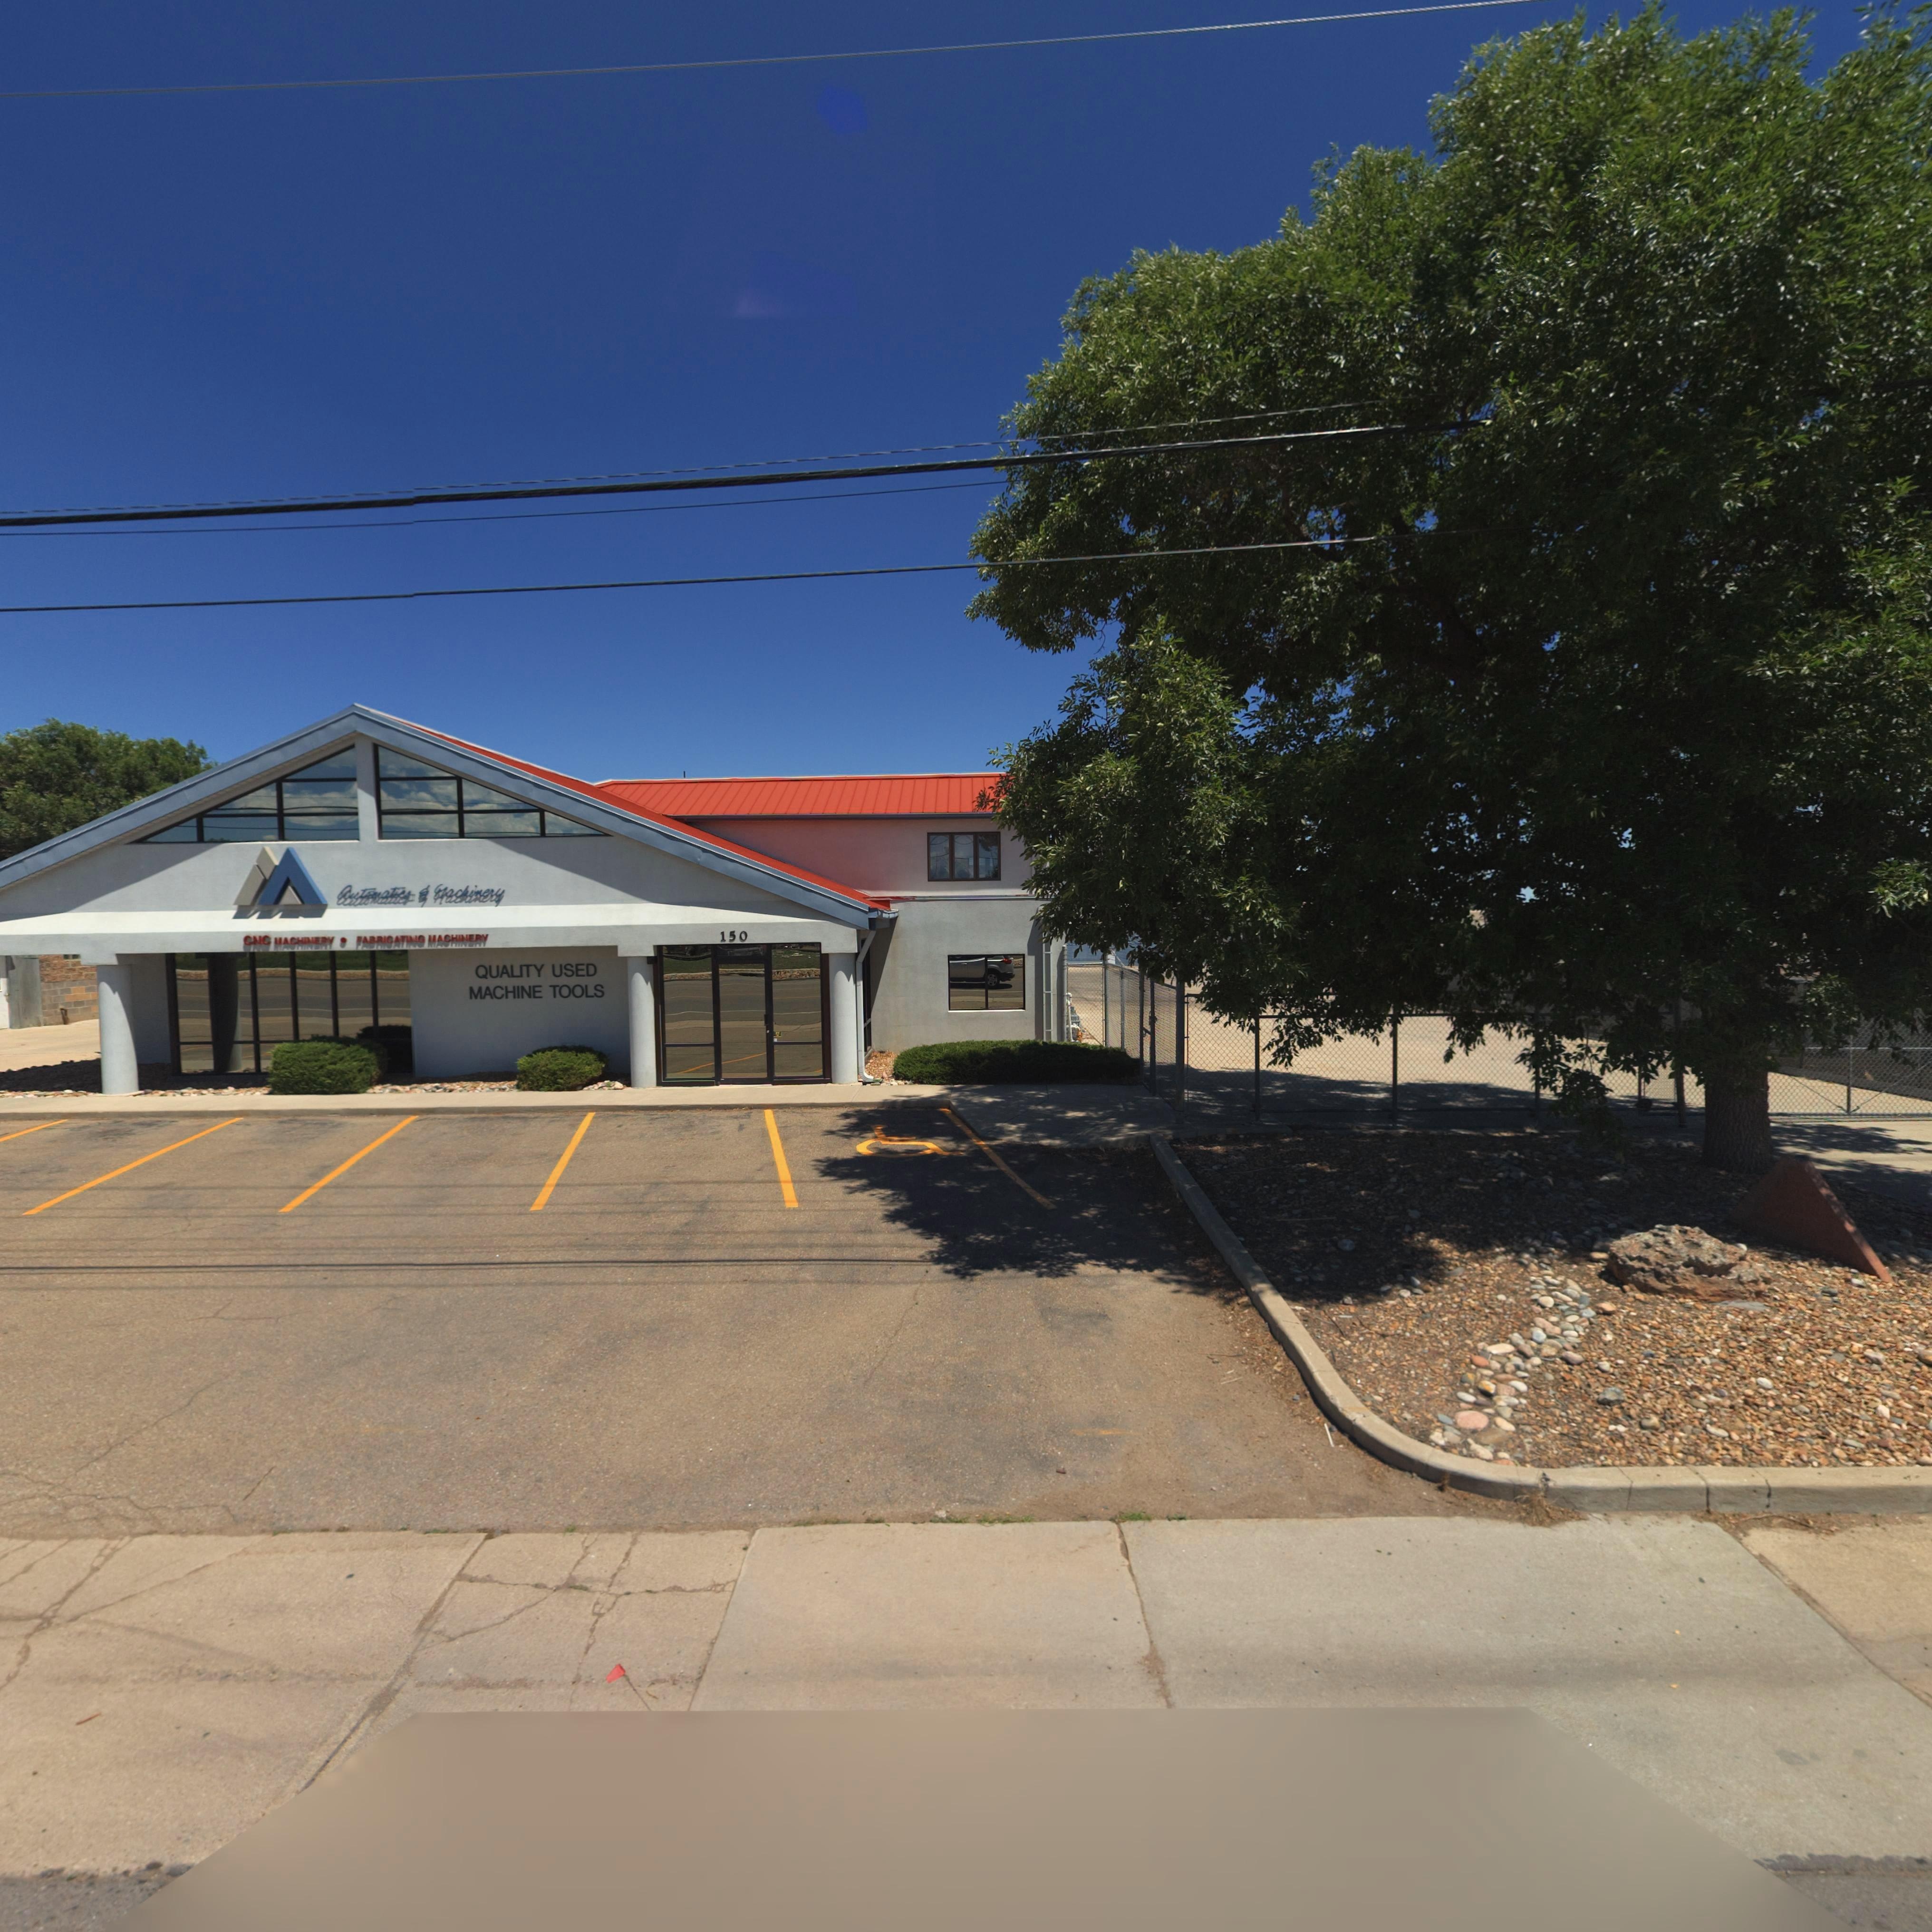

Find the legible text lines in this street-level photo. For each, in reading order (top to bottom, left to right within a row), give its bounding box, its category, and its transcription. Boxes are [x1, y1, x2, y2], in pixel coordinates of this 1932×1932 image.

[336, 883, 506, 904] BusinessName: AuTomaTics * *achinery
[719, 929, 748, 943] StreetNumber: 150